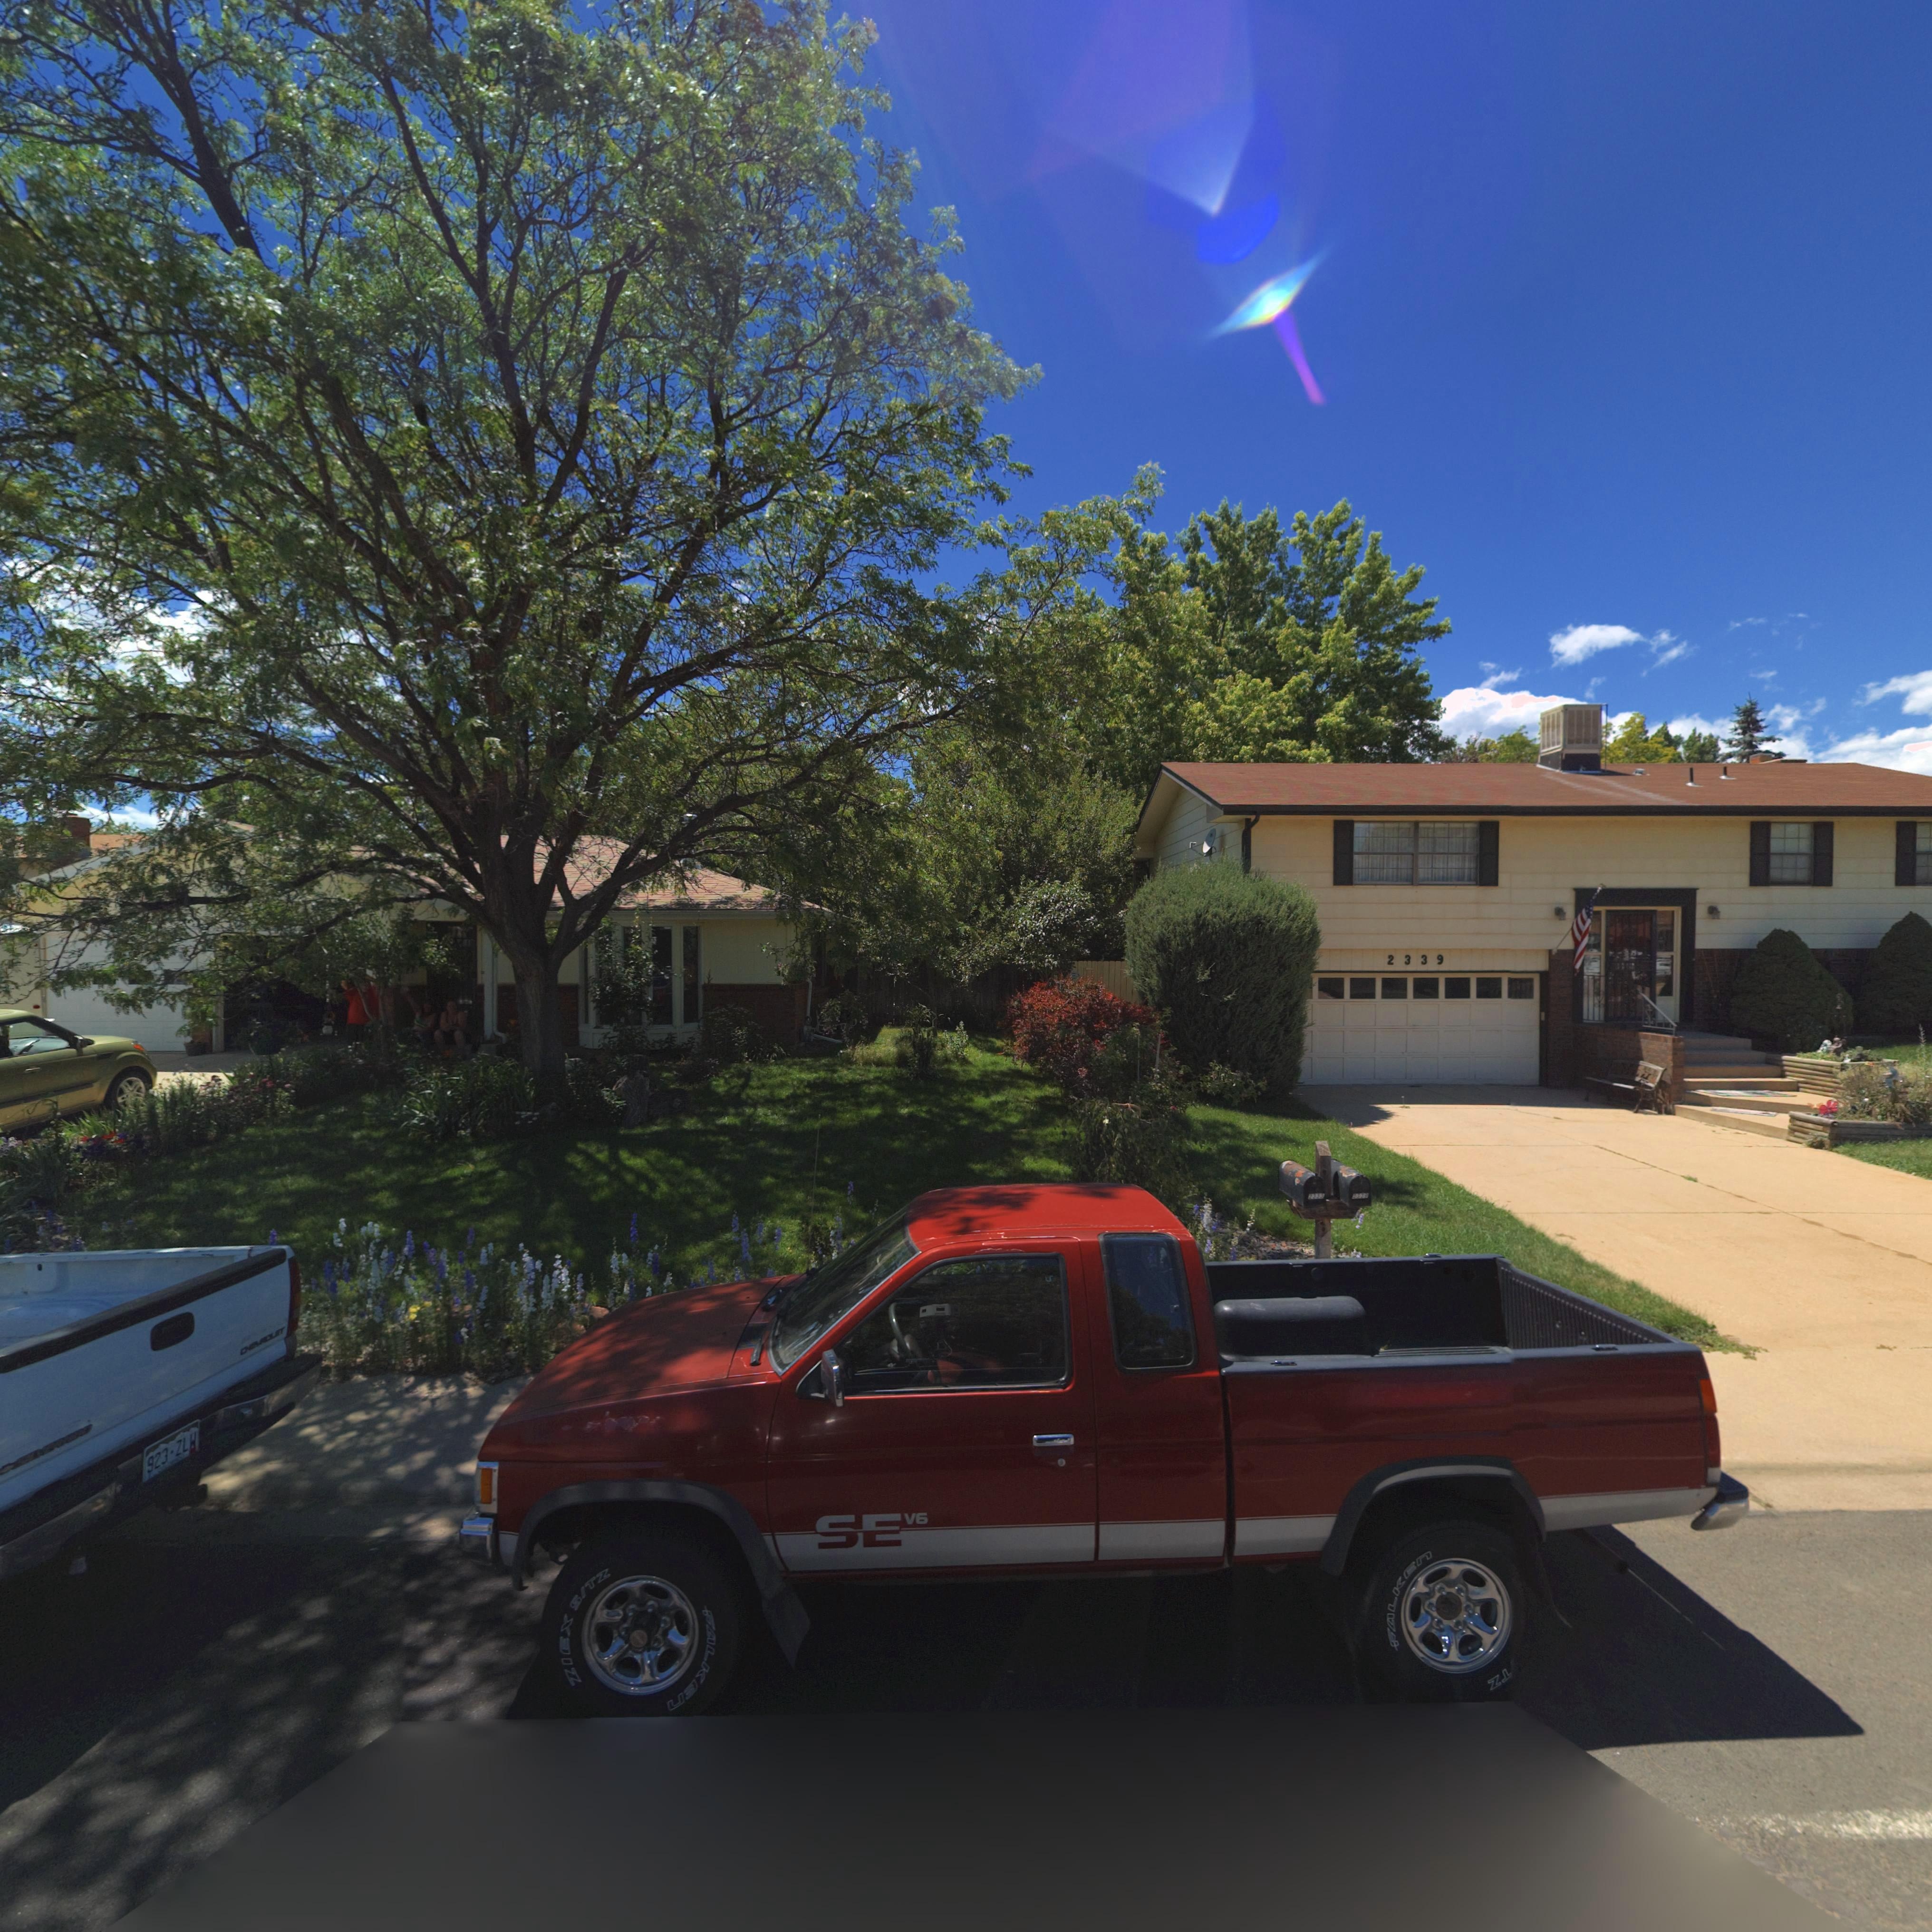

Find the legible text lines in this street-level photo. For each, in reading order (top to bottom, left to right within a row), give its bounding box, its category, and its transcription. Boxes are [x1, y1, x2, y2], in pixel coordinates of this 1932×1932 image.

[1387, 954, 1444, 965] StreetNumber: 2339